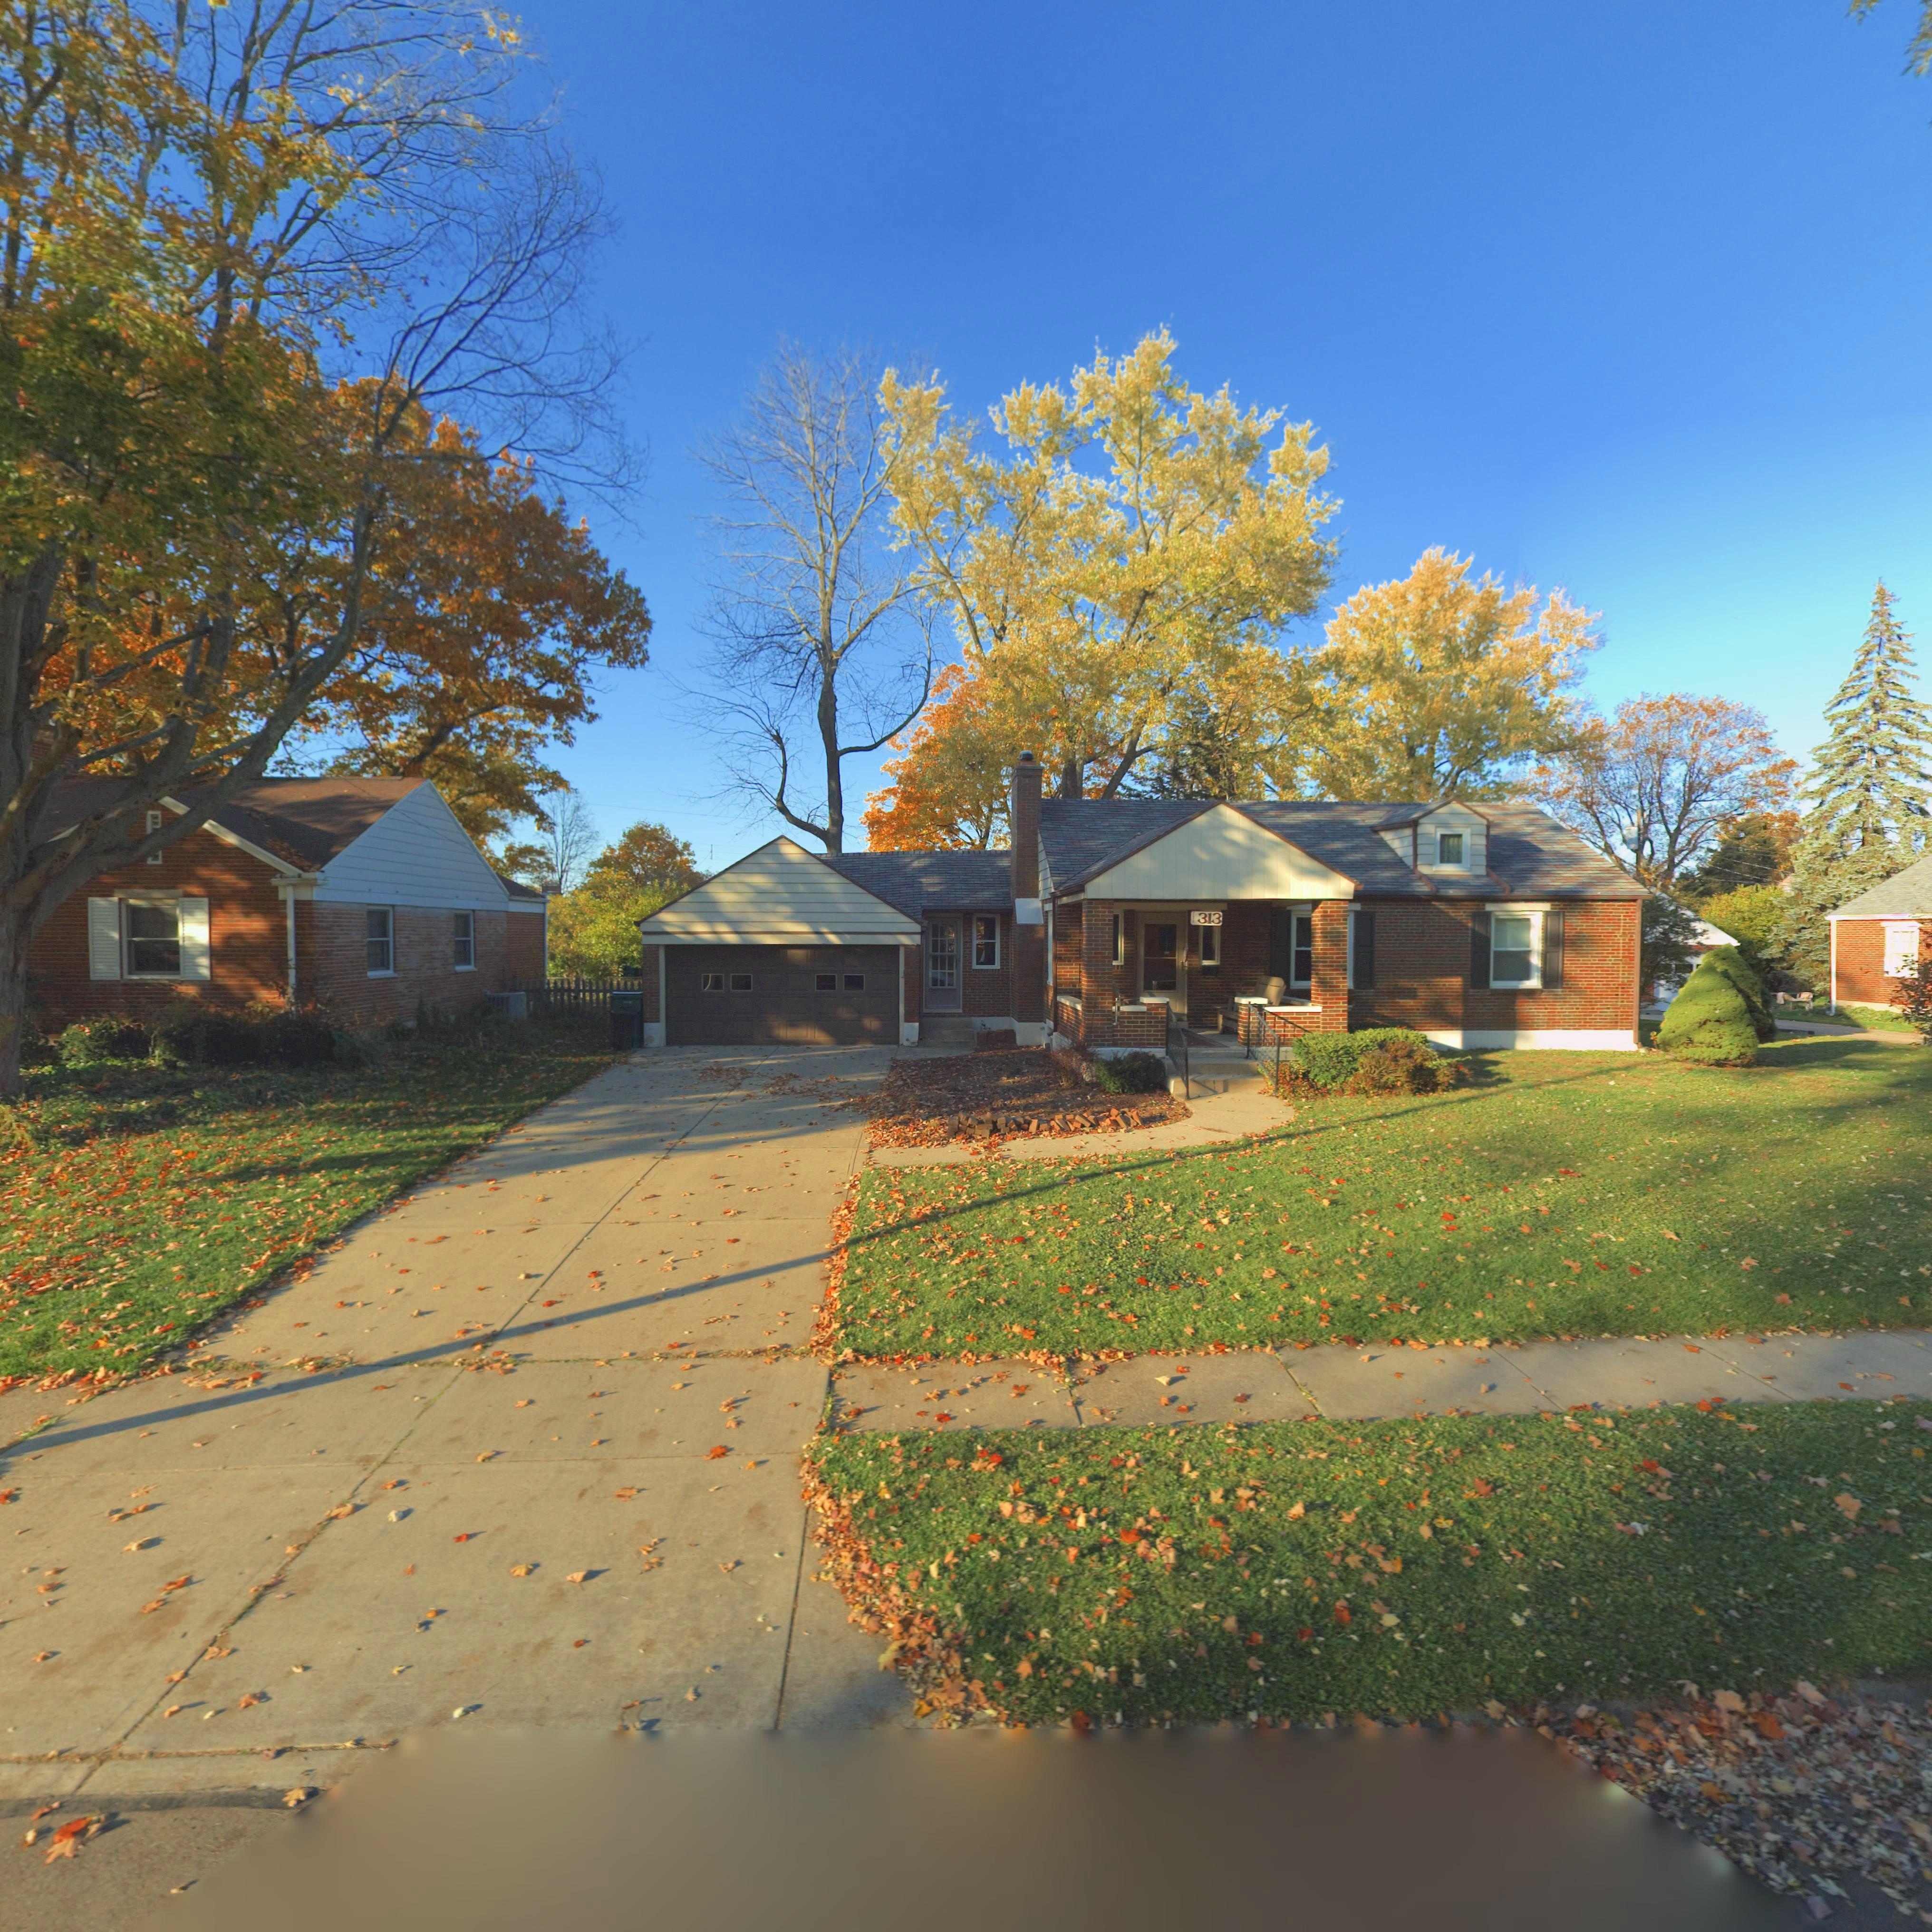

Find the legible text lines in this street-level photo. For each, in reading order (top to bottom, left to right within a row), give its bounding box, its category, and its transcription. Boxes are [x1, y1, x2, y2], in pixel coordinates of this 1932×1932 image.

[1197, 912, 1222, 924] StreetNumber: 313